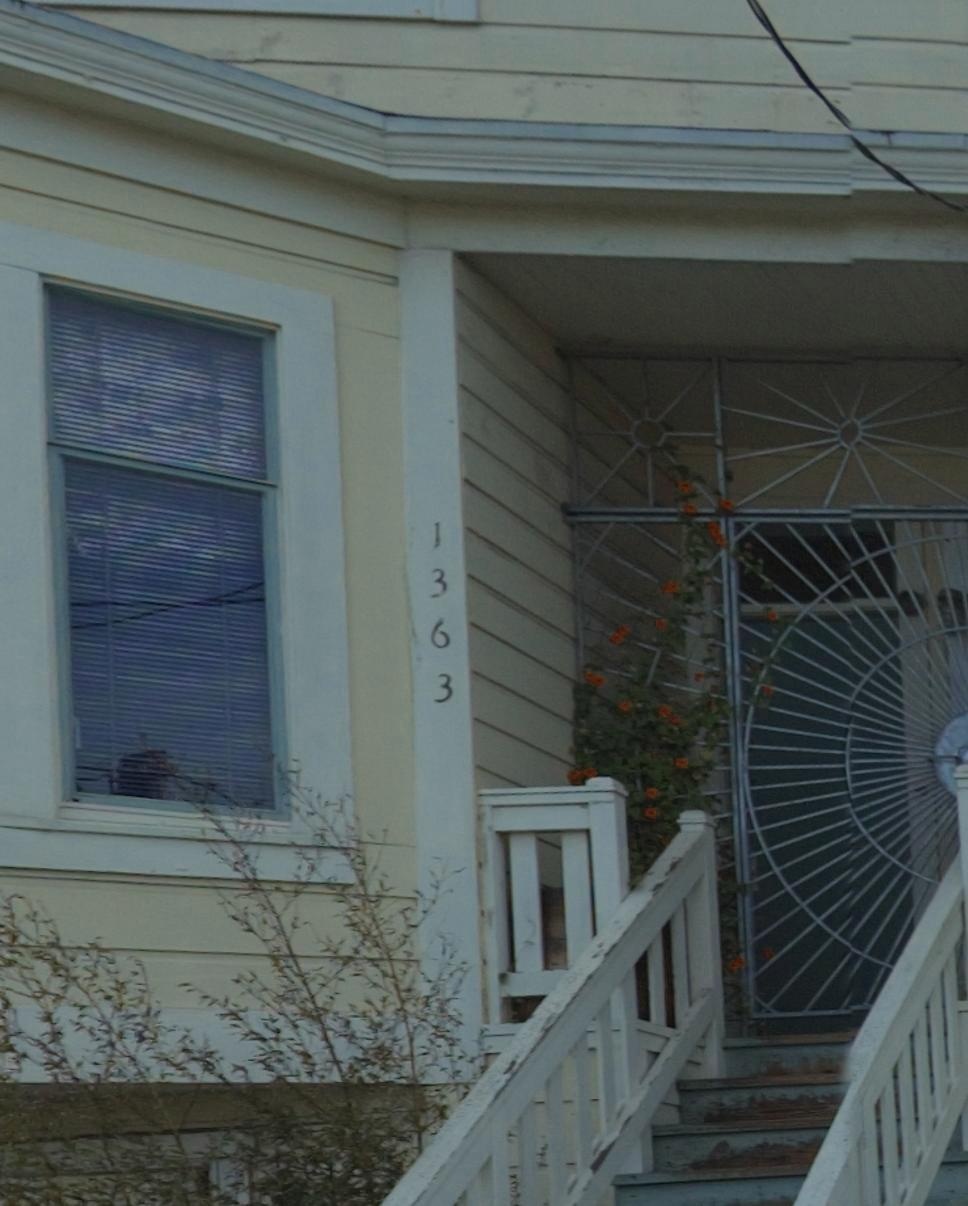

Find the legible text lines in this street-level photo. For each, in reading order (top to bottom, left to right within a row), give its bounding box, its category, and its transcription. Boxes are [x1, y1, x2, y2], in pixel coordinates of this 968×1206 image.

[428, 520, 455, 705] StreetNumber: 1363